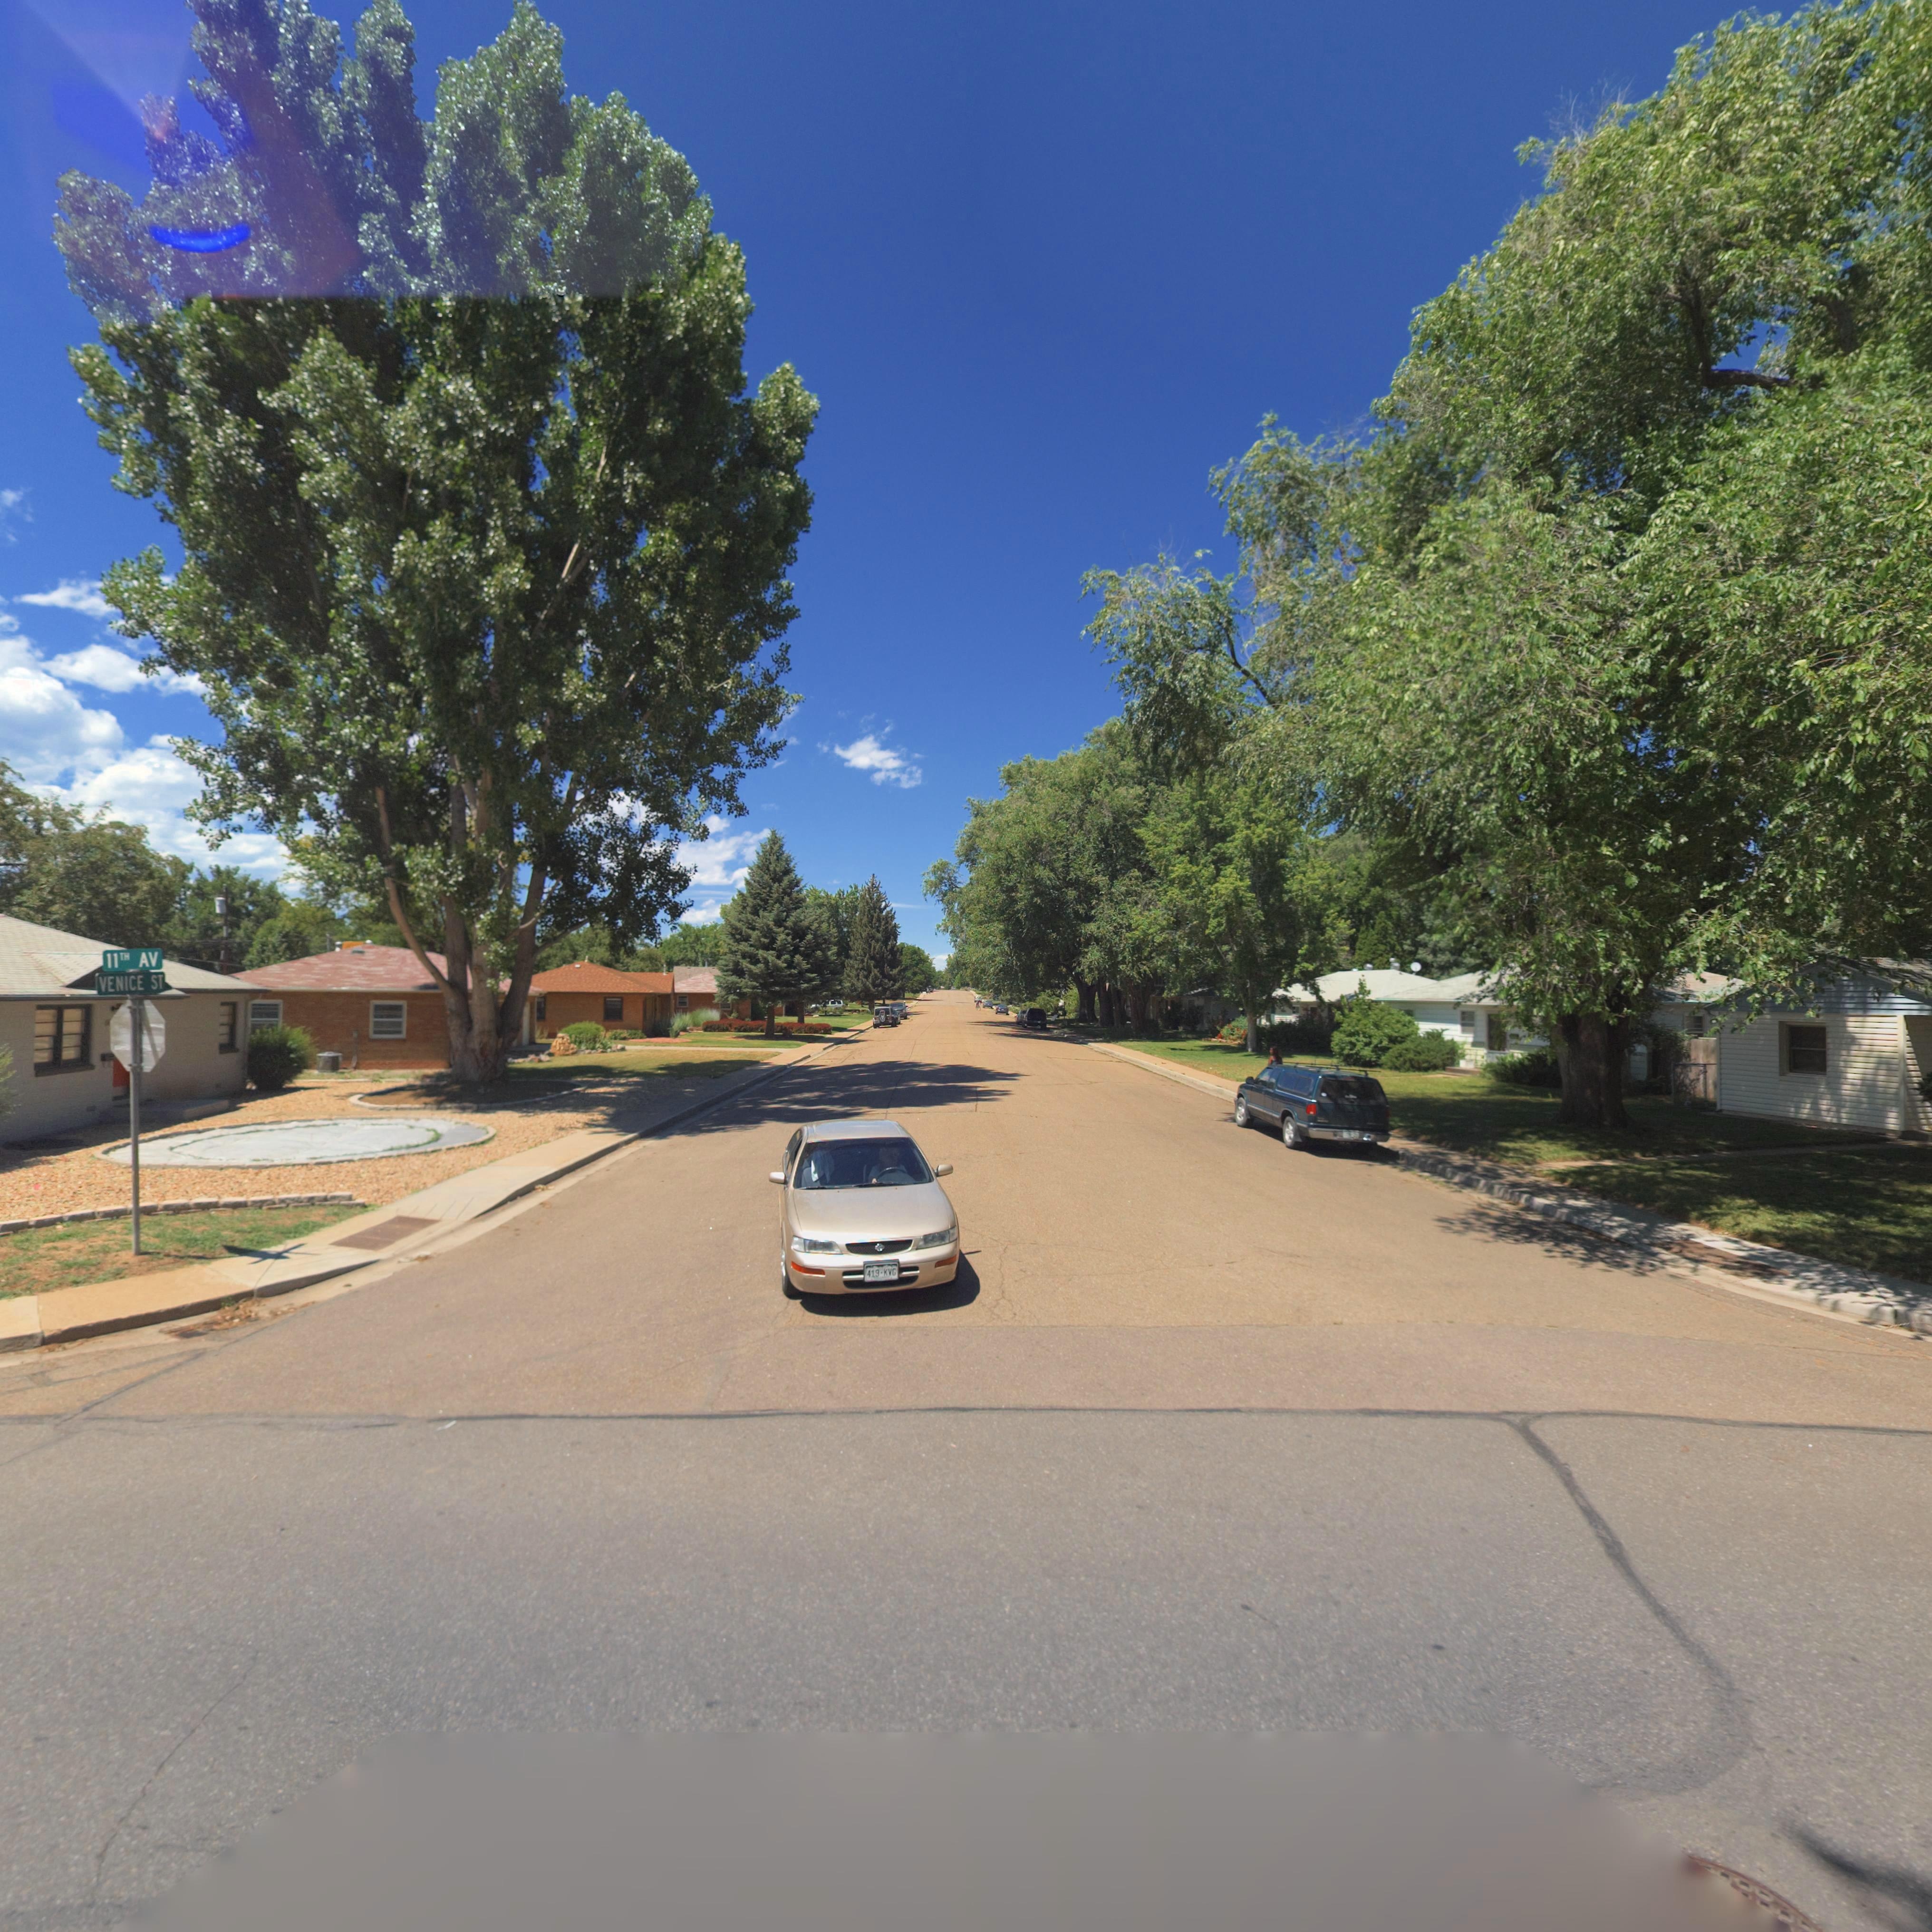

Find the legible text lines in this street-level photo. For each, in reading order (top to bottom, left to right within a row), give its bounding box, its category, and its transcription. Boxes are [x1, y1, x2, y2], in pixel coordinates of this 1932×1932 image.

[106, 951, 159, 968] StreetName: 11TH AV
[97, 974, 164, 992] StreetName: VENICE ST